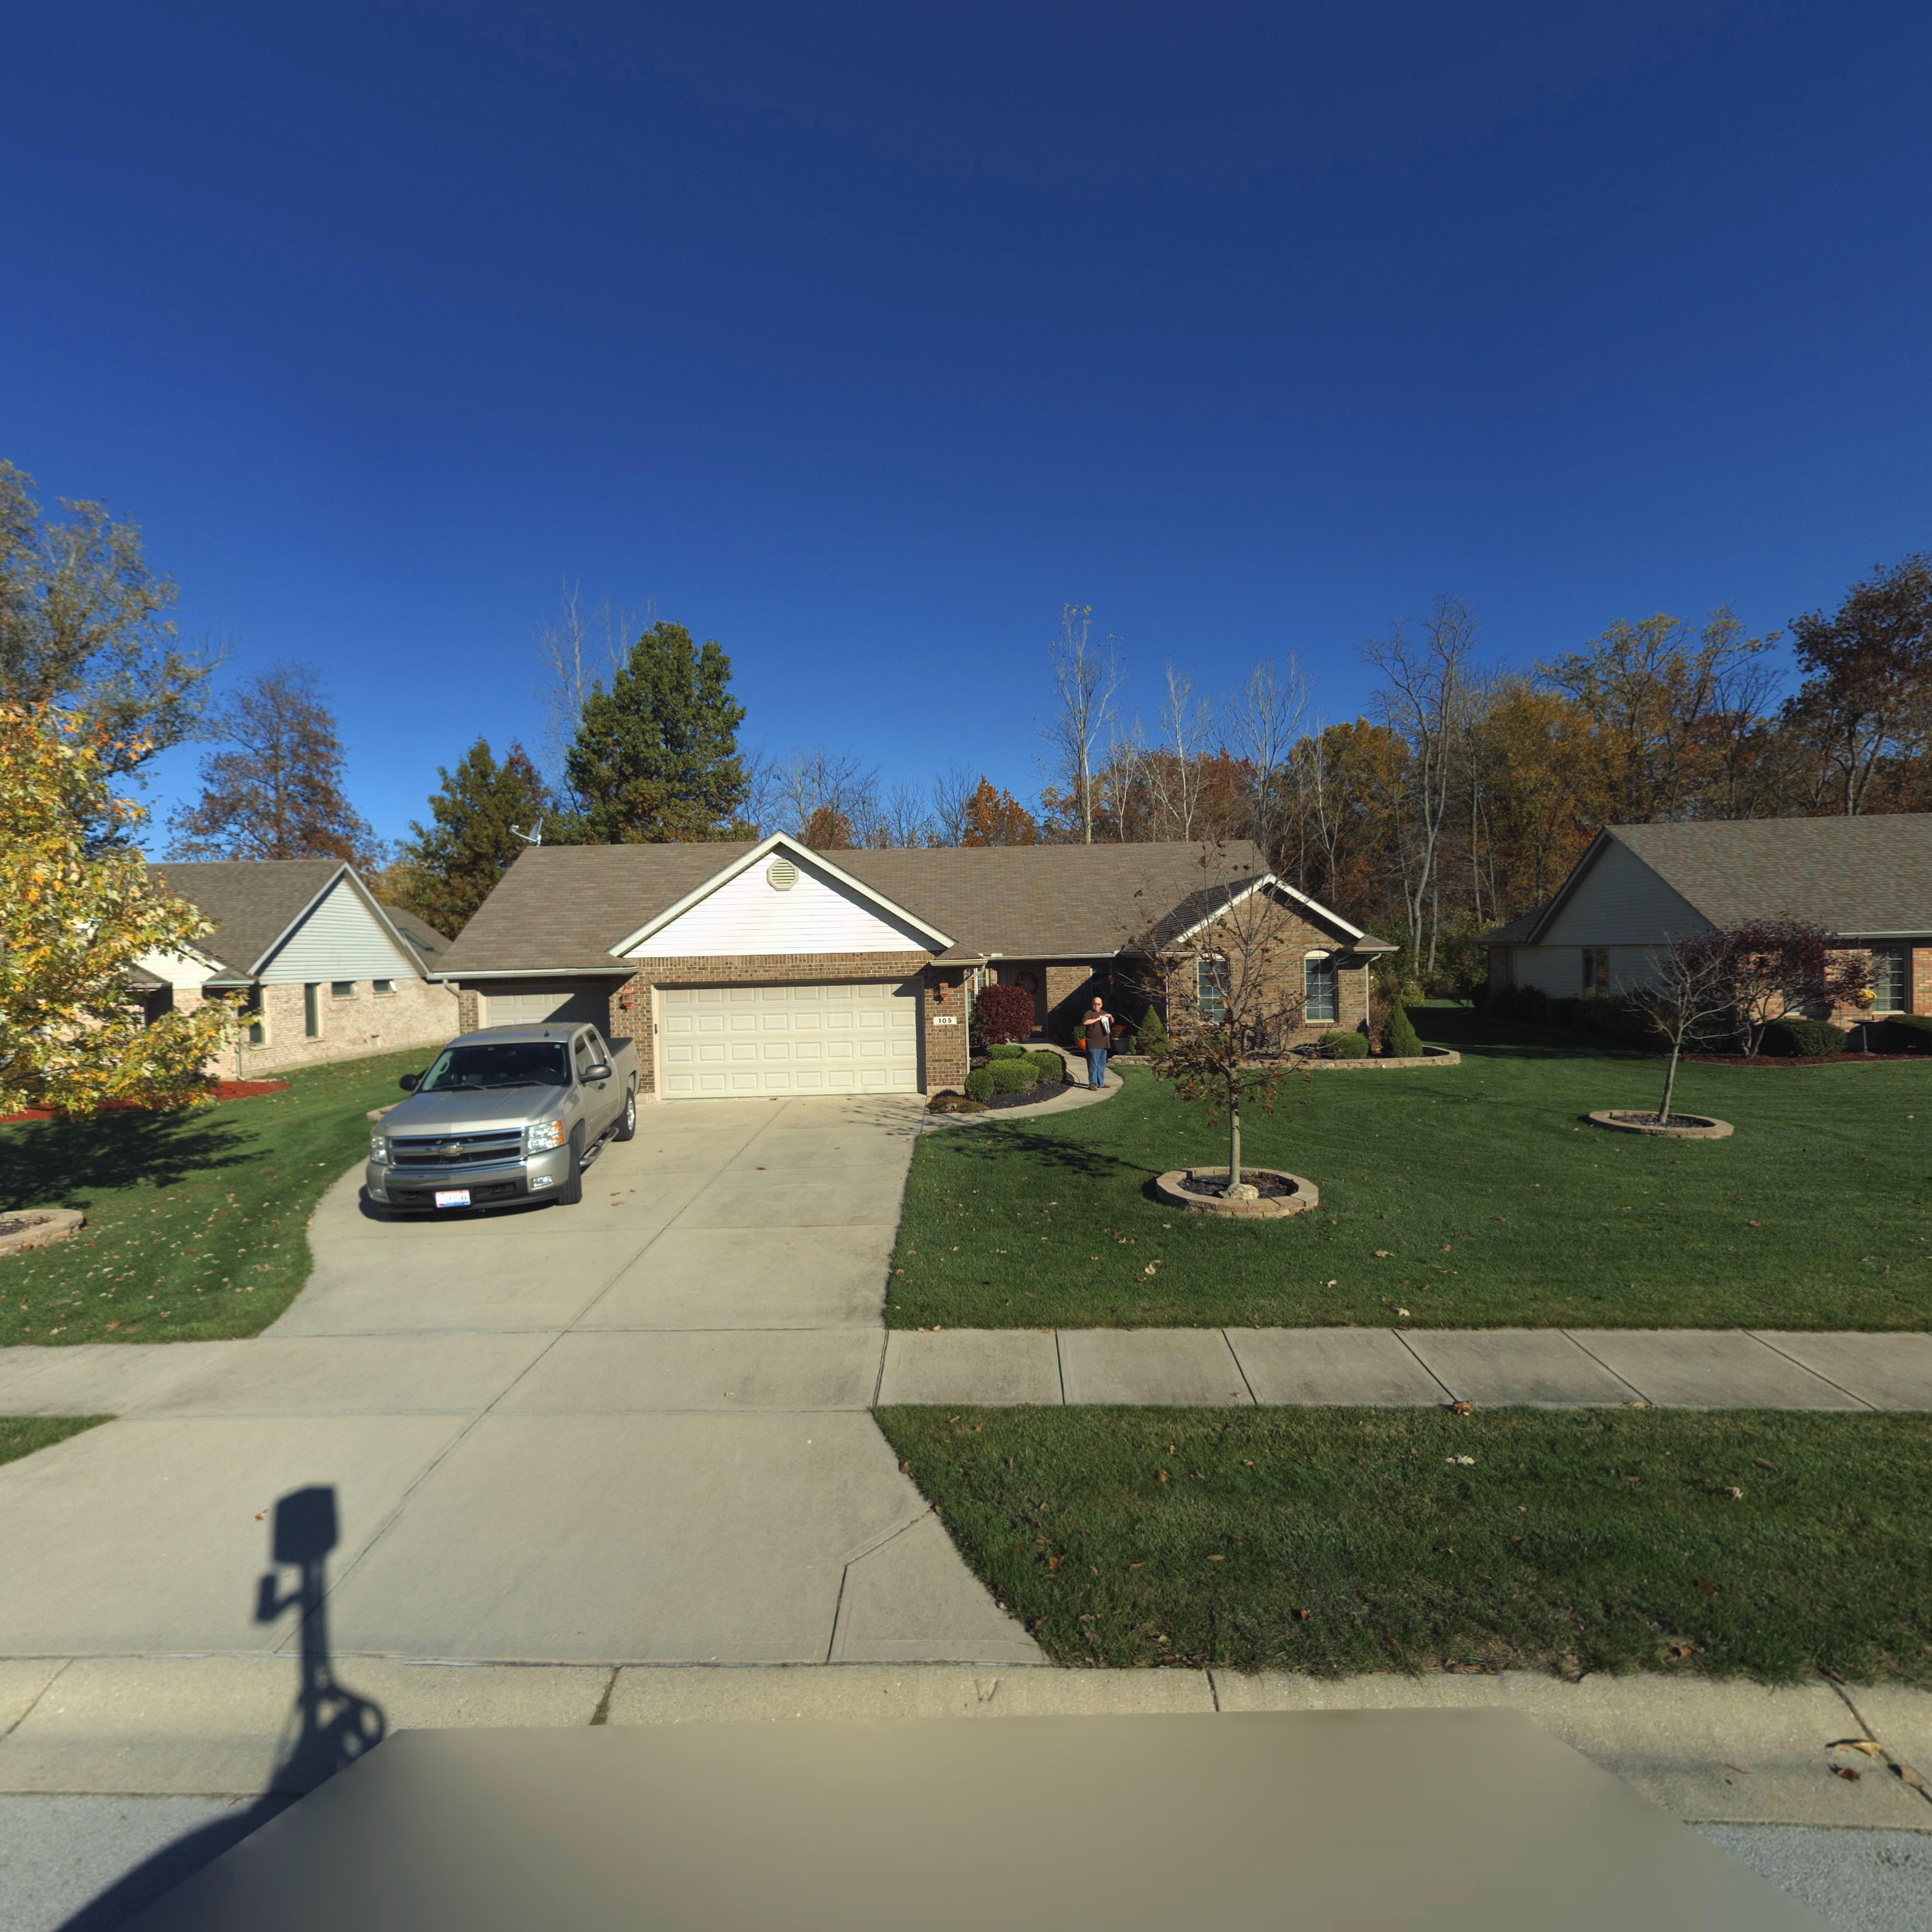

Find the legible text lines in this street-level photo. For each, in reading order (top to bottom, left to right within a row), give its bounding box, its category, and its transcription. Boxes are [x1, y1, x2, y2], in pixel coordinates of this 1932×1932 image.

[938, 1017, 952, 1024] StreetNumber: 105